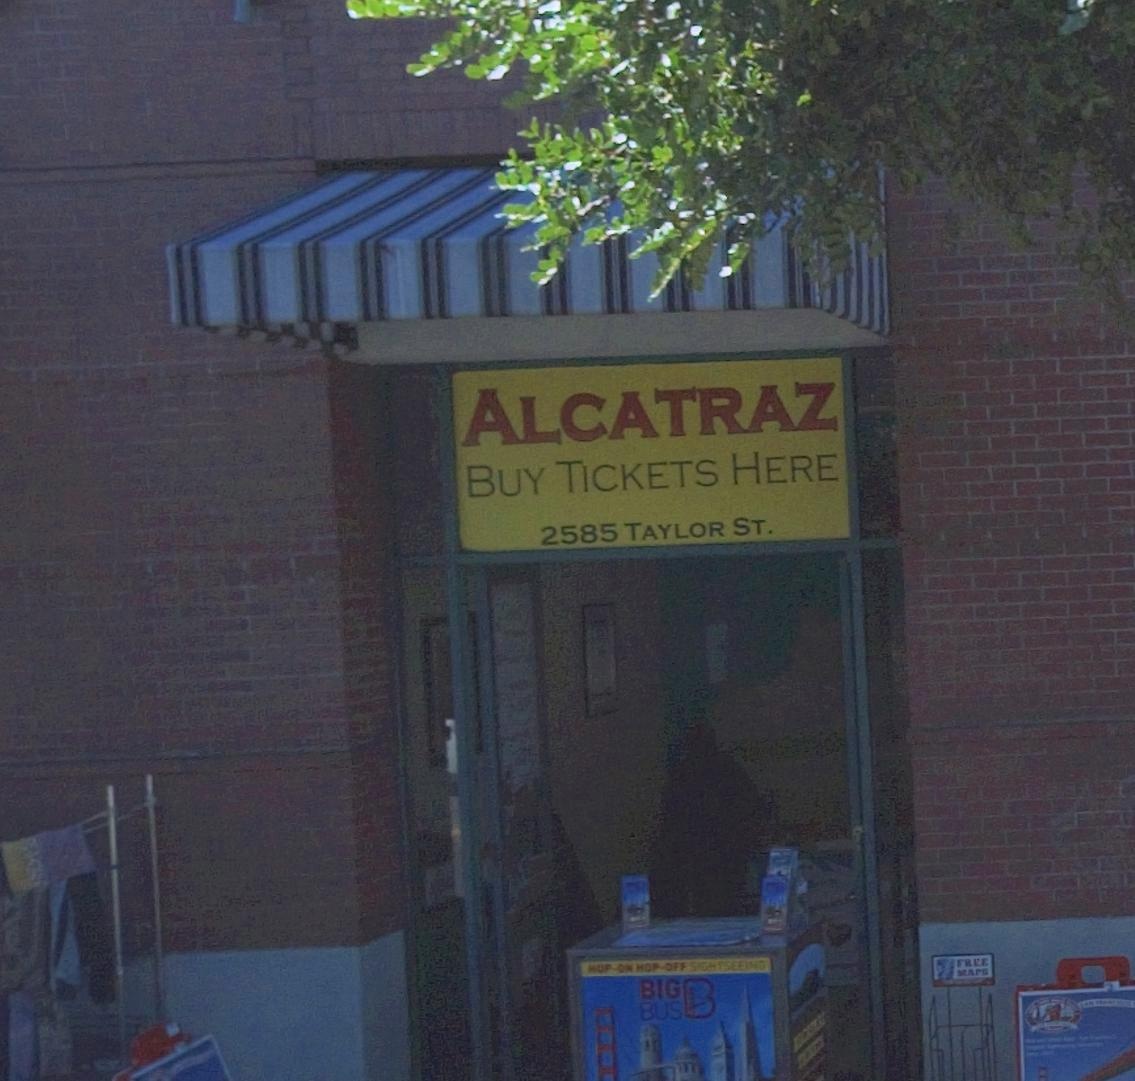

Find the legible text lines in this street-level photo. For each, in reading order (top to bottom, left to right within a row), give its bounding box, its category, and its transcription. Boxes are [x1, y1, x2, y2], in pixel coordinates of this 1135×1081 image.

[457, 379, 839, 449] BusinessName: ALCATRAZ
[465, 450, 841, 500] None: BUY TICKETS HERE
[539, 520, 620, 548] StreetNumber: 2585
[621, 516, 776, 543] StreetName: TAYLOR ST.
[954, 955, 989, 969] None: FREE
[956, 966, 991, 979] None: MAPS
[638, 976, 682, 1001] None: BIG
[639, 999, 682, 1022] None: BUS